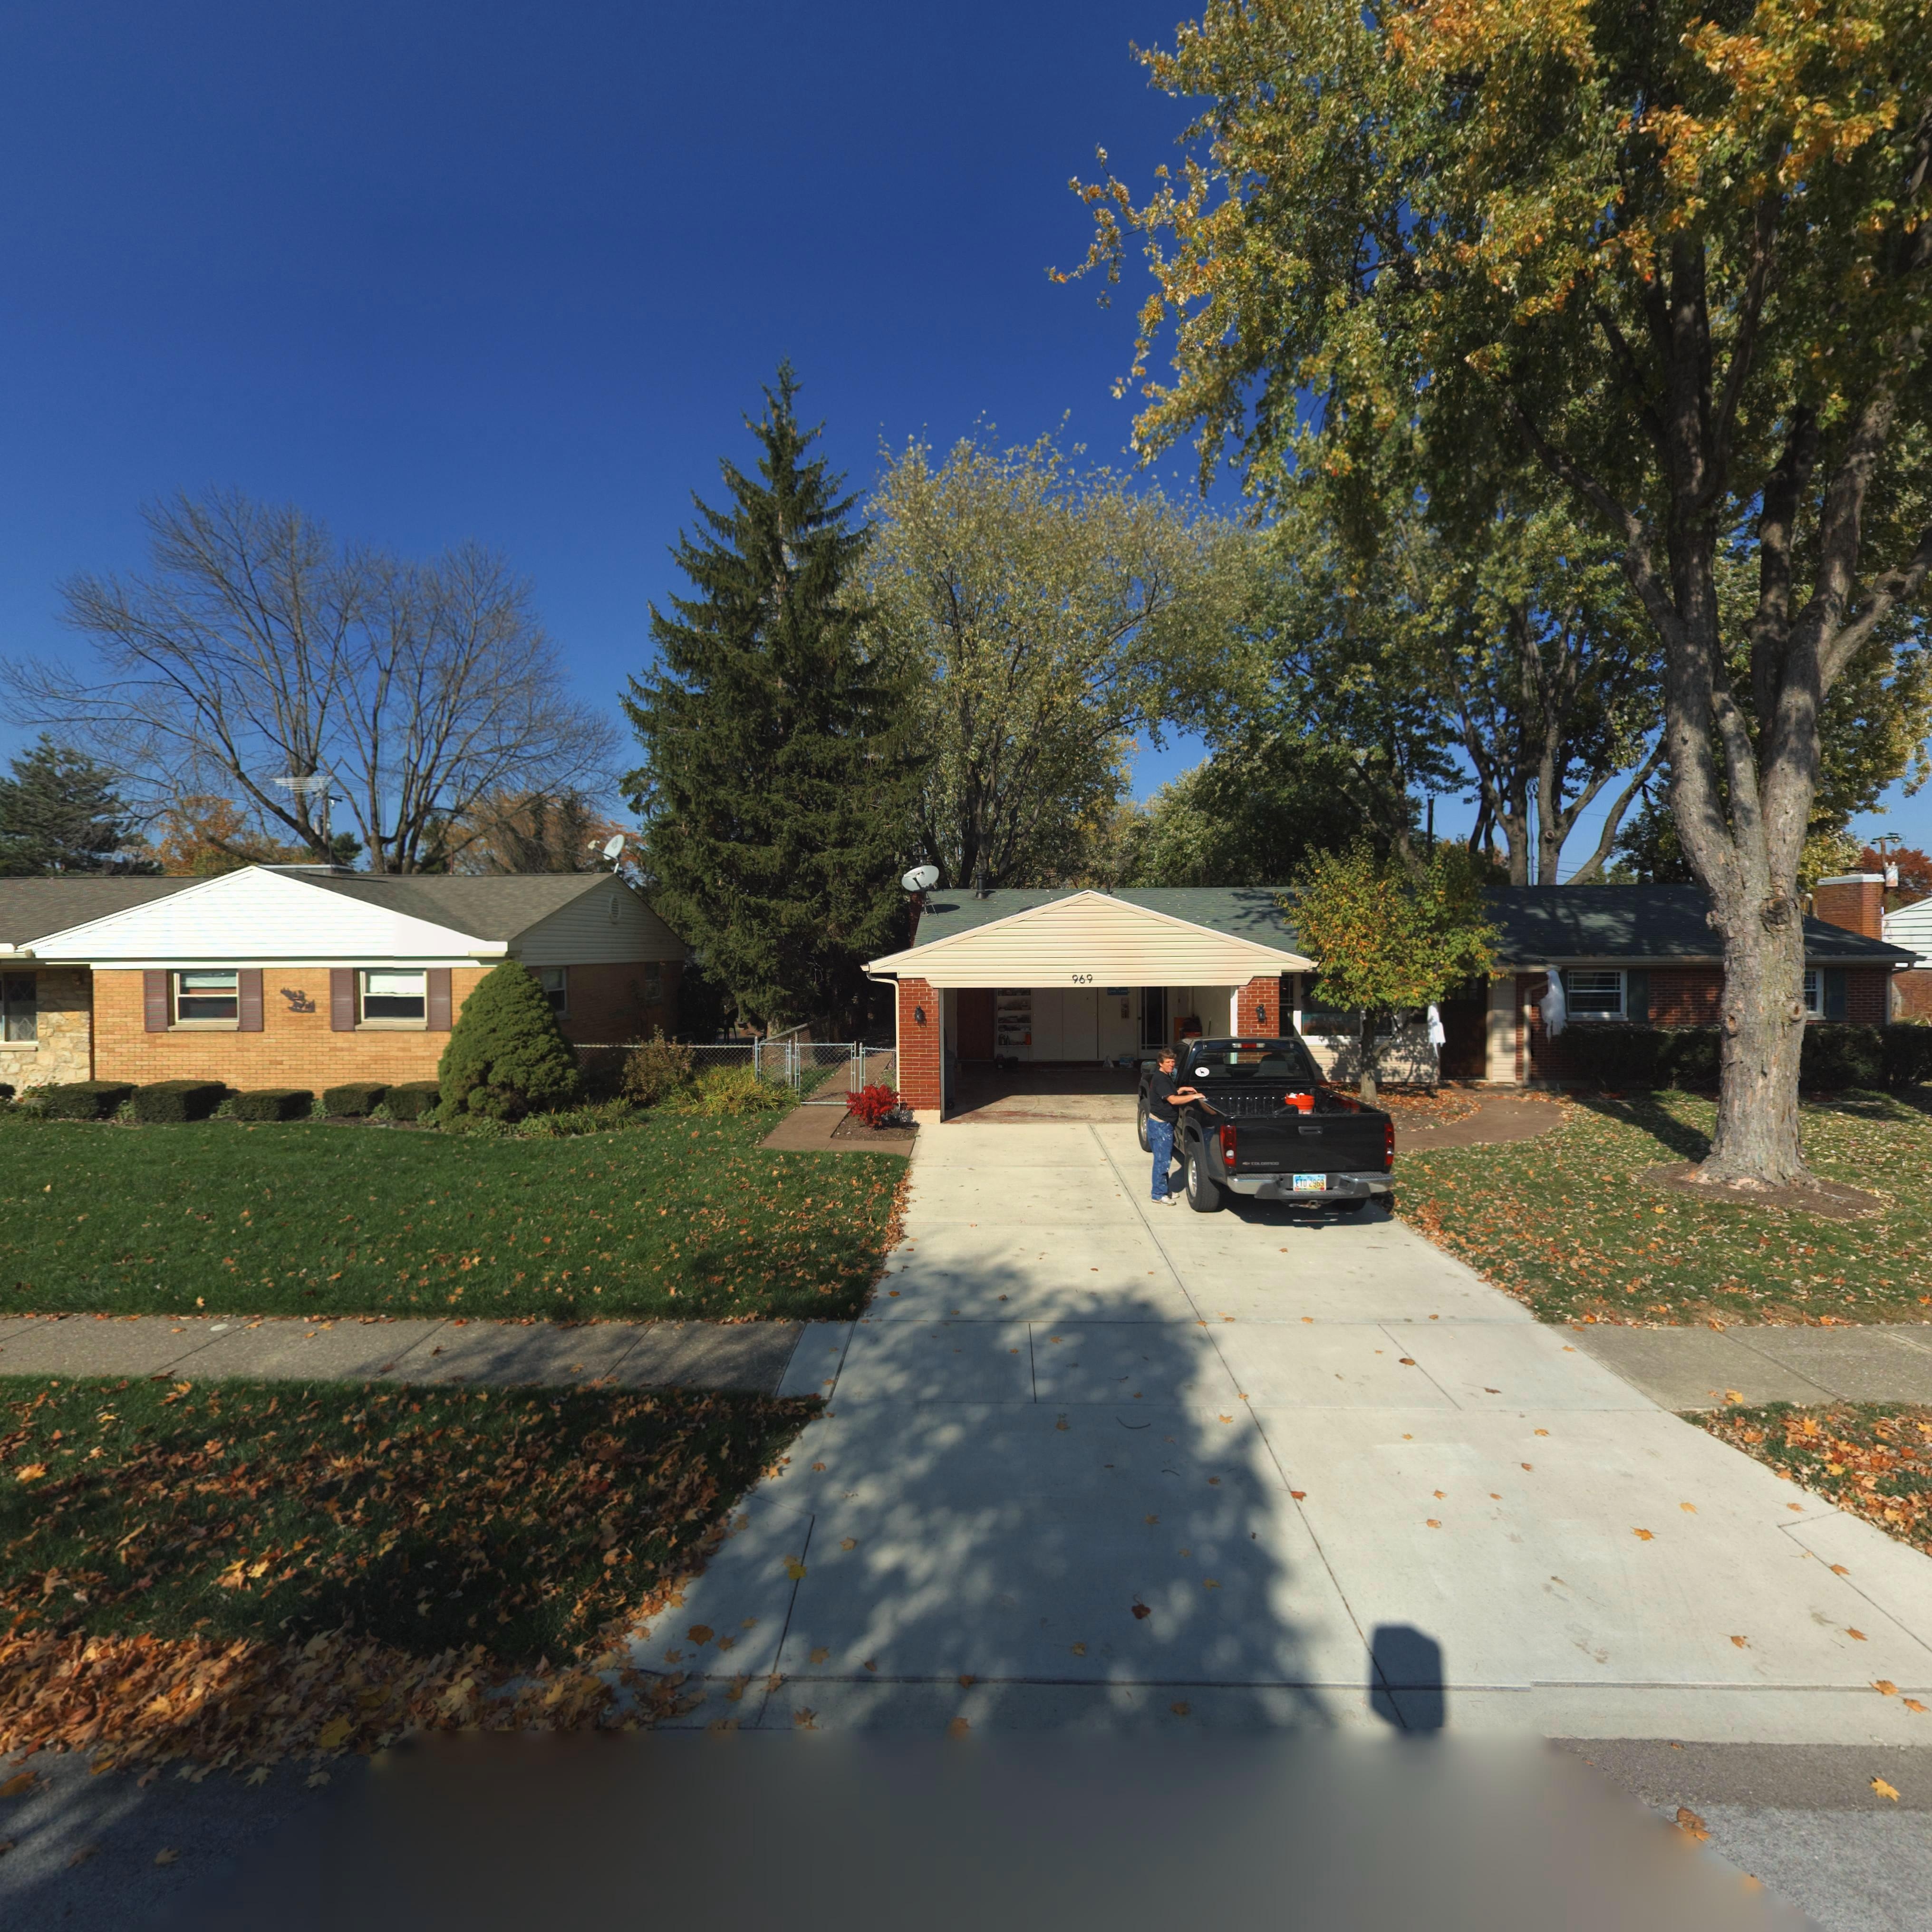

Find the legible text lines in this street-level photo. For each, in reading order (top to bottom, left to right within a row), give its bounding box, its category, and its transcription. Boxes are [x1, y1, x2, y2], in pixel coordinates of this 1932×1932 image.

[1070, 972, 1094, 985] StreetNumber: 969
[1295, 1178, 1325, 1188] None: ETD 2969